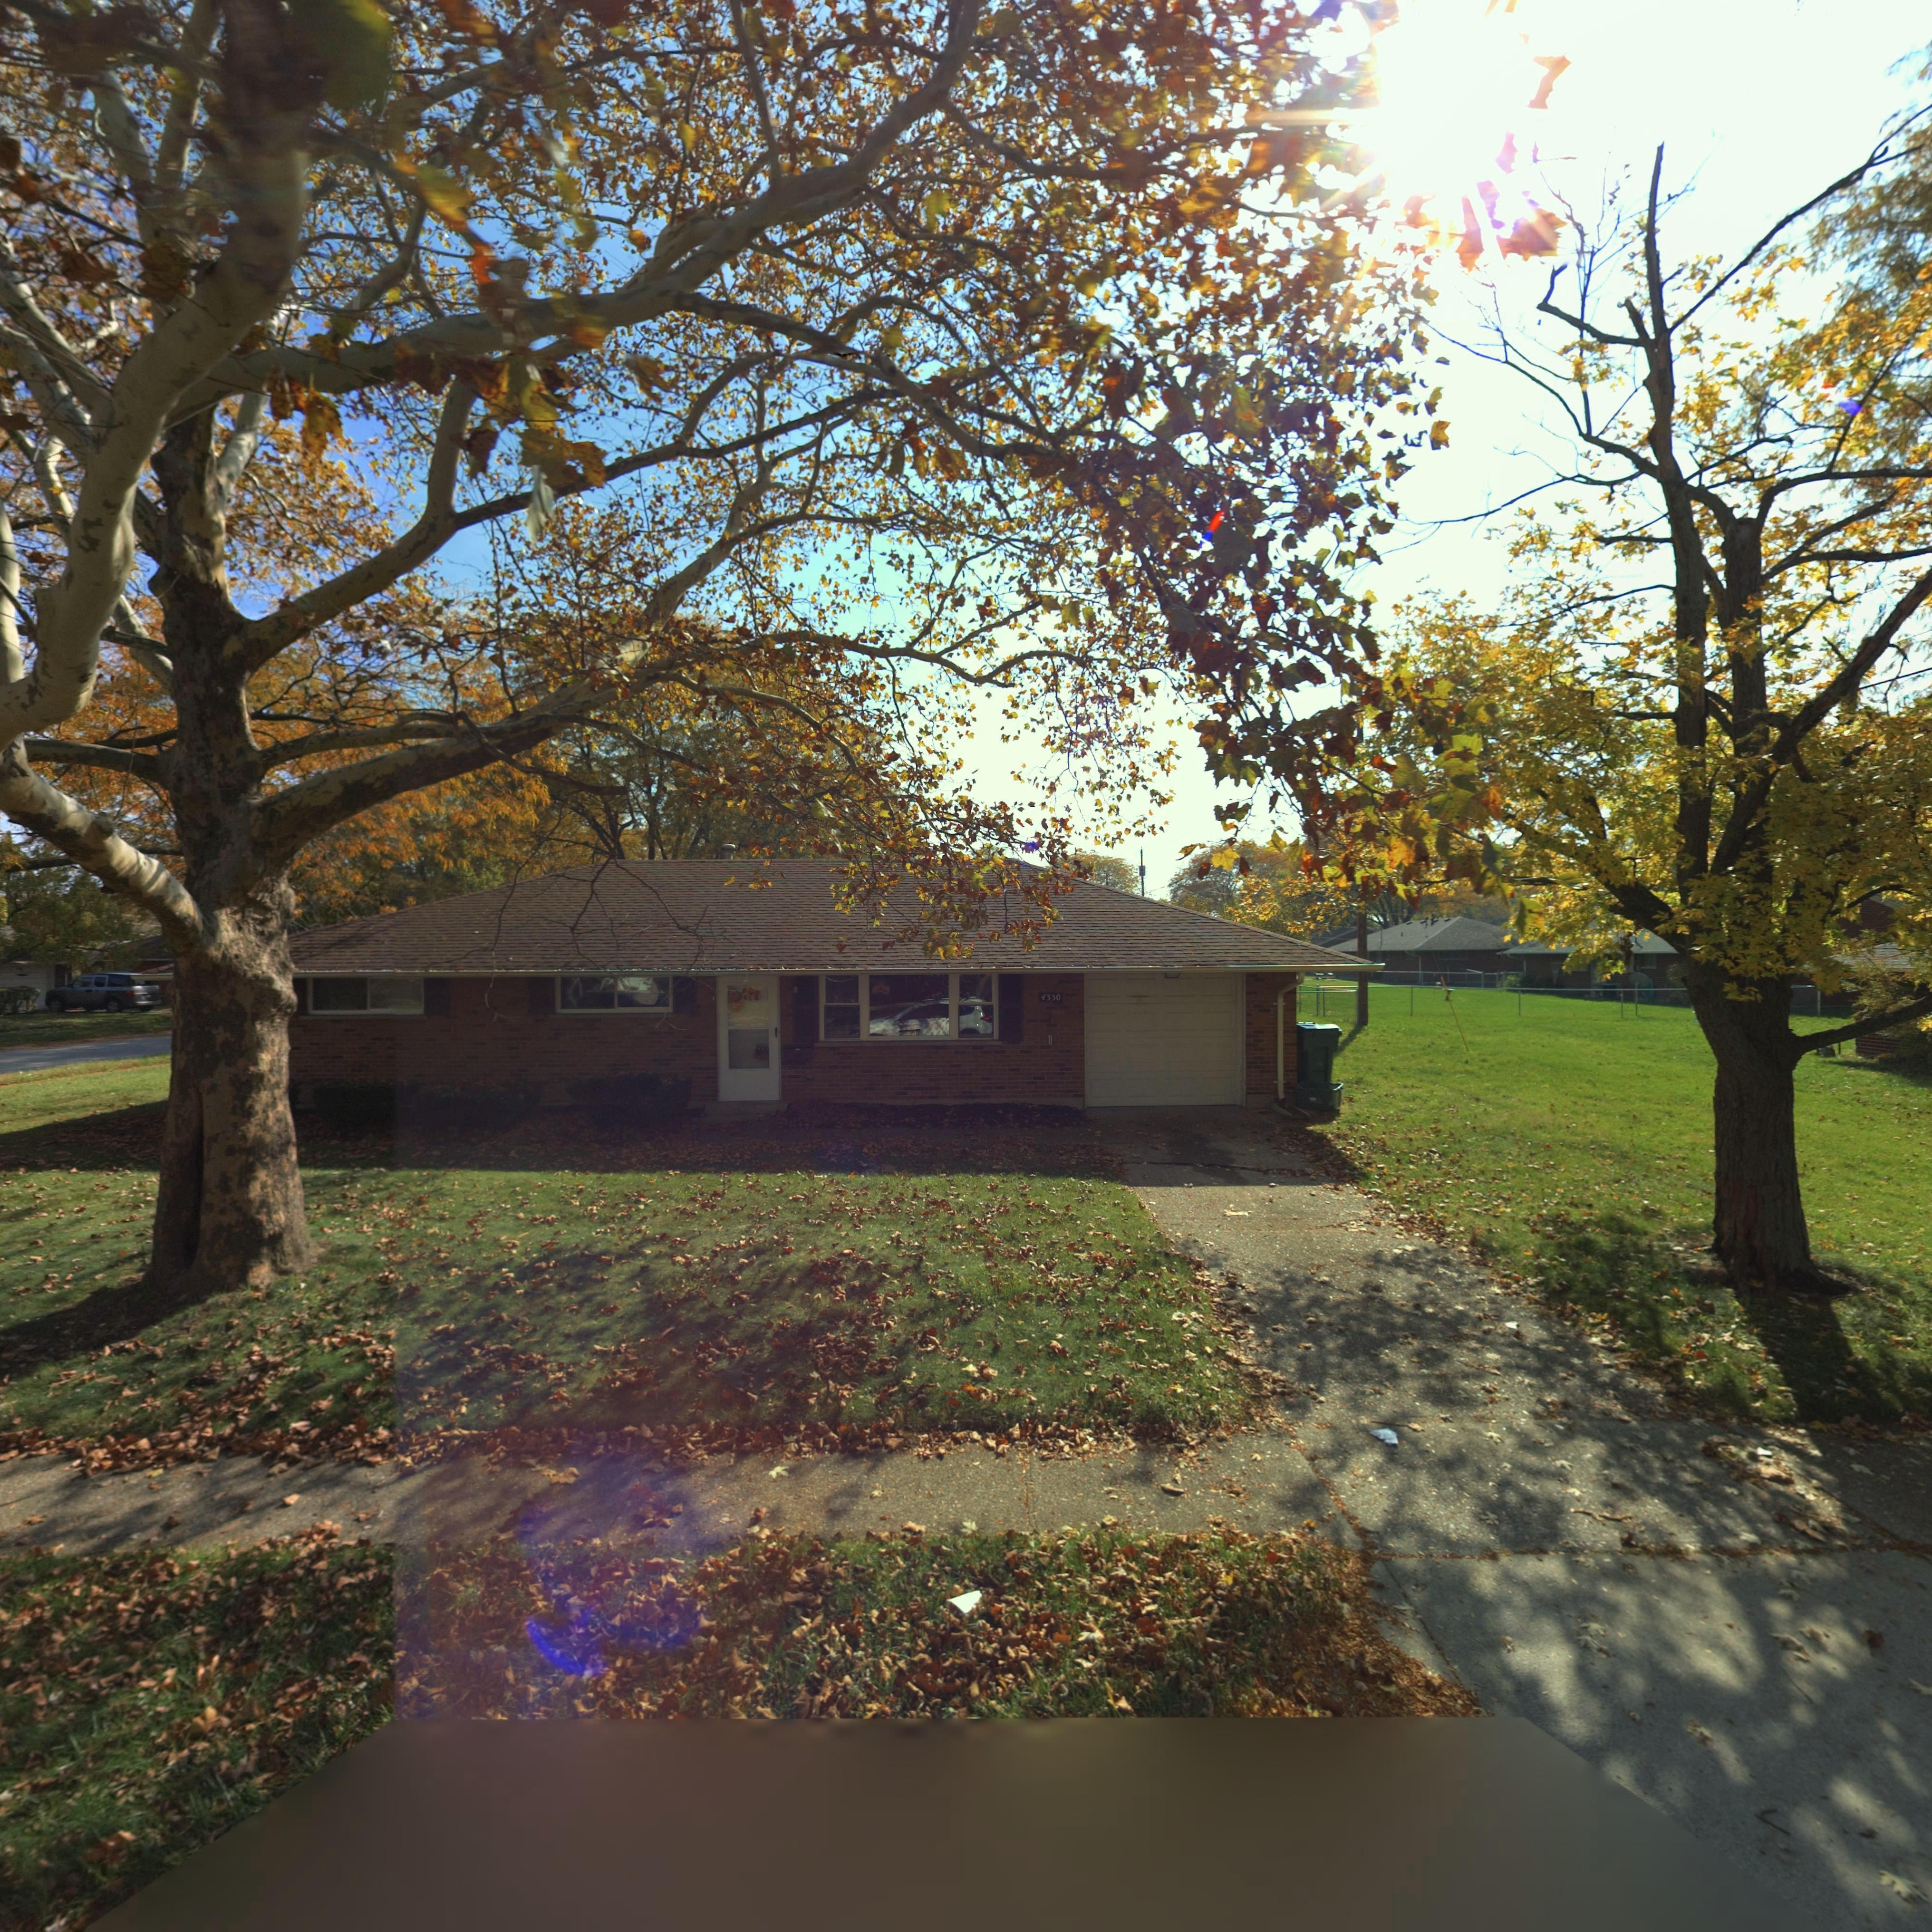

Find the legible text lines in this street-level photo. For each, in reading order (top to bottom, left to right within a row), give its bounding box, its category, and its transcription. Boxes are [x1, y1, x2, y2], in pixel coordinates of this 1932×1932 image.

[1040, 993, 1062, 1002] StreetNumber: 4330